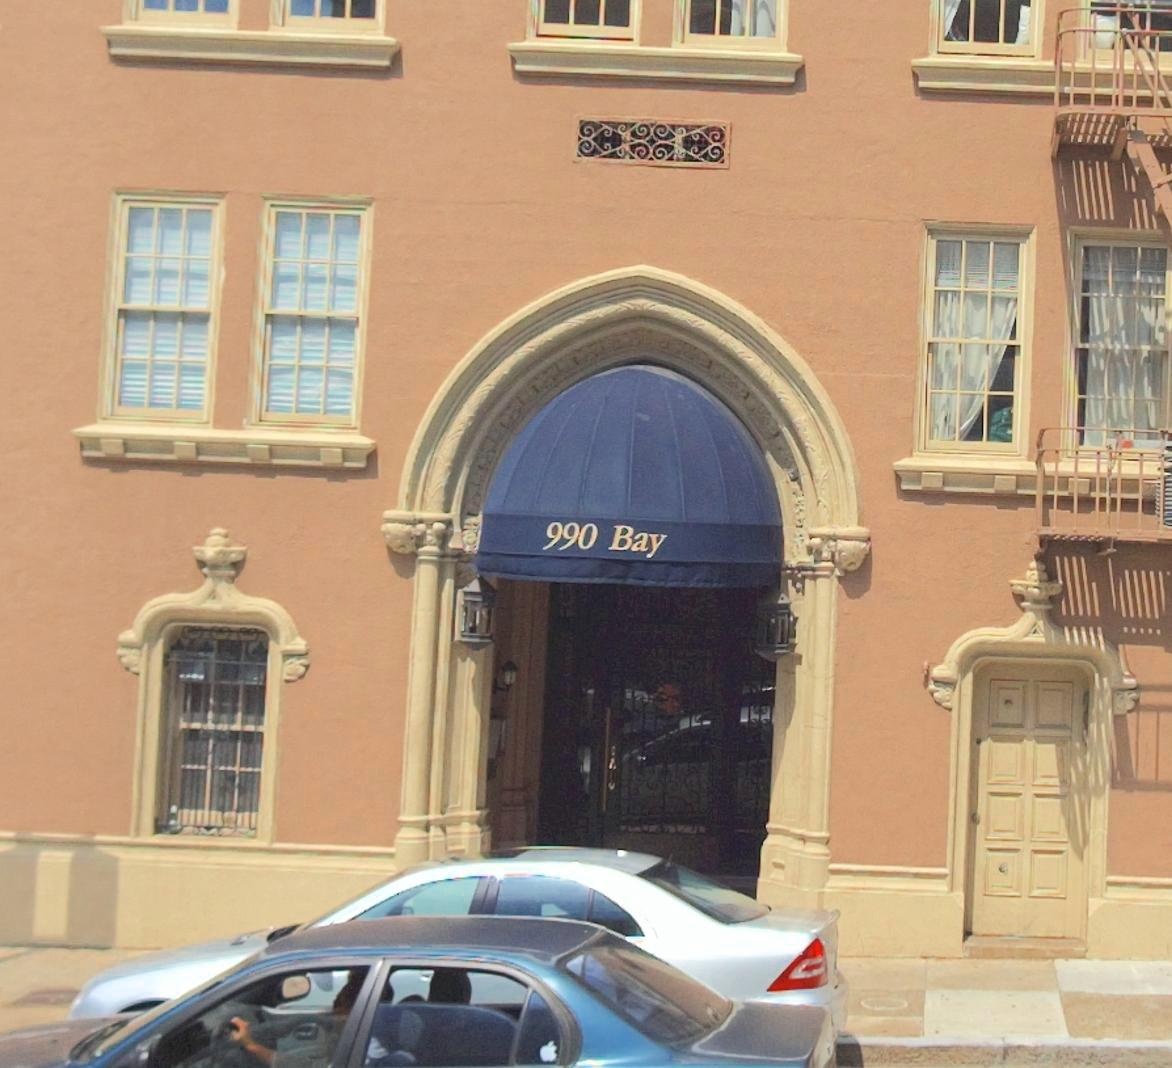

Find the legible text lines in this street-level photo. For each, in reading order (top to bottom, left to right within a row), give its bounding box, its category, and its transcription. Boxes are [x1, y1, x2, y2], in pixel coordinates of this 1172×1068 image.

[539, 520, 602, 551] StreetNumber: 990
[606, 525, 670, 560] StreetName: Bay